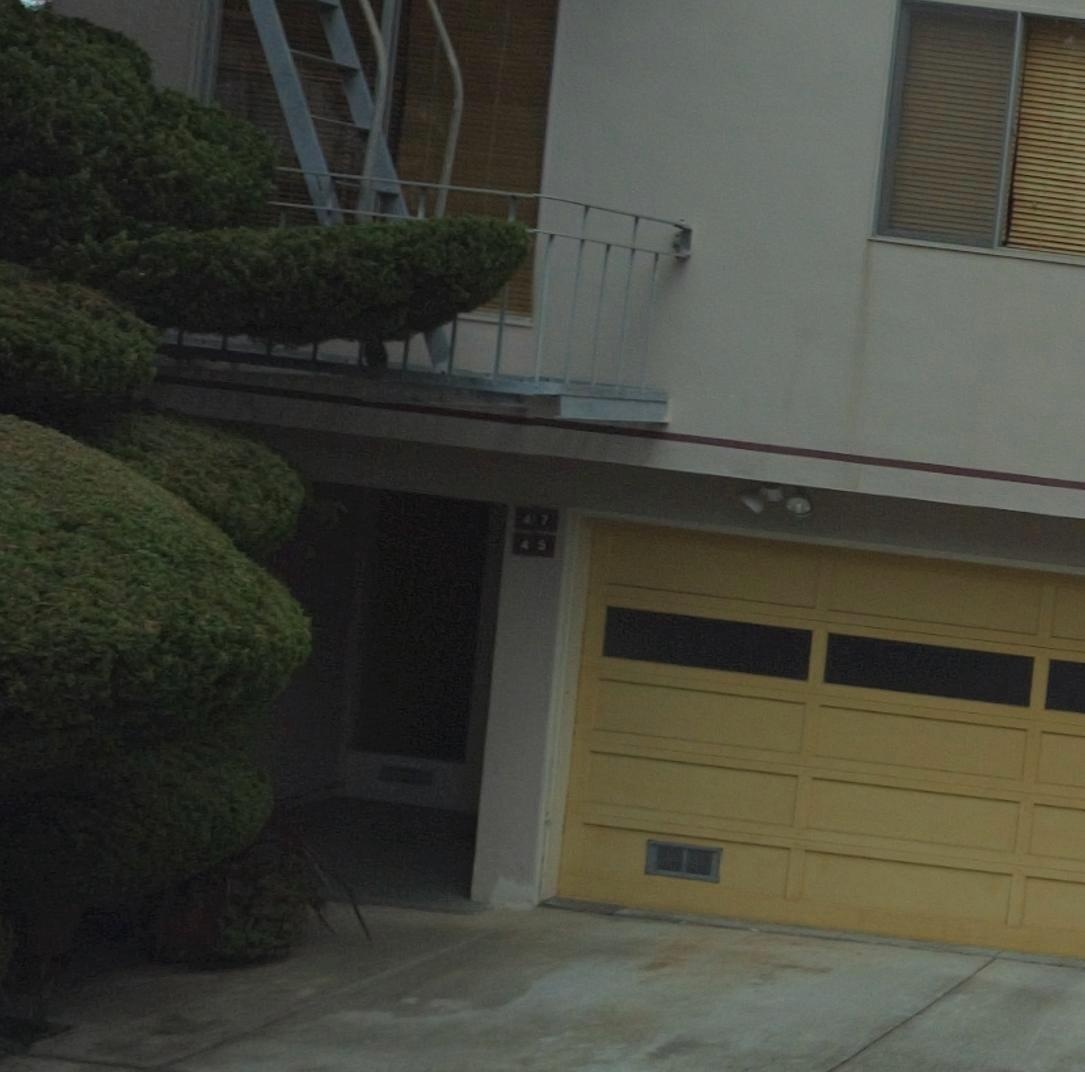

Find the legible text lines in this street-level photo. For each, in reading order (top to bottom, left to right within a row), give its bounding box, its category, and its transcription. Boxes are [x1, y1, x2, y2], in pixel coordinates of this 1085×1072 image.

[520, 511, 551, 527] StreetNumber: 47
[519, 537, 548, 553] StreetNumber: 45